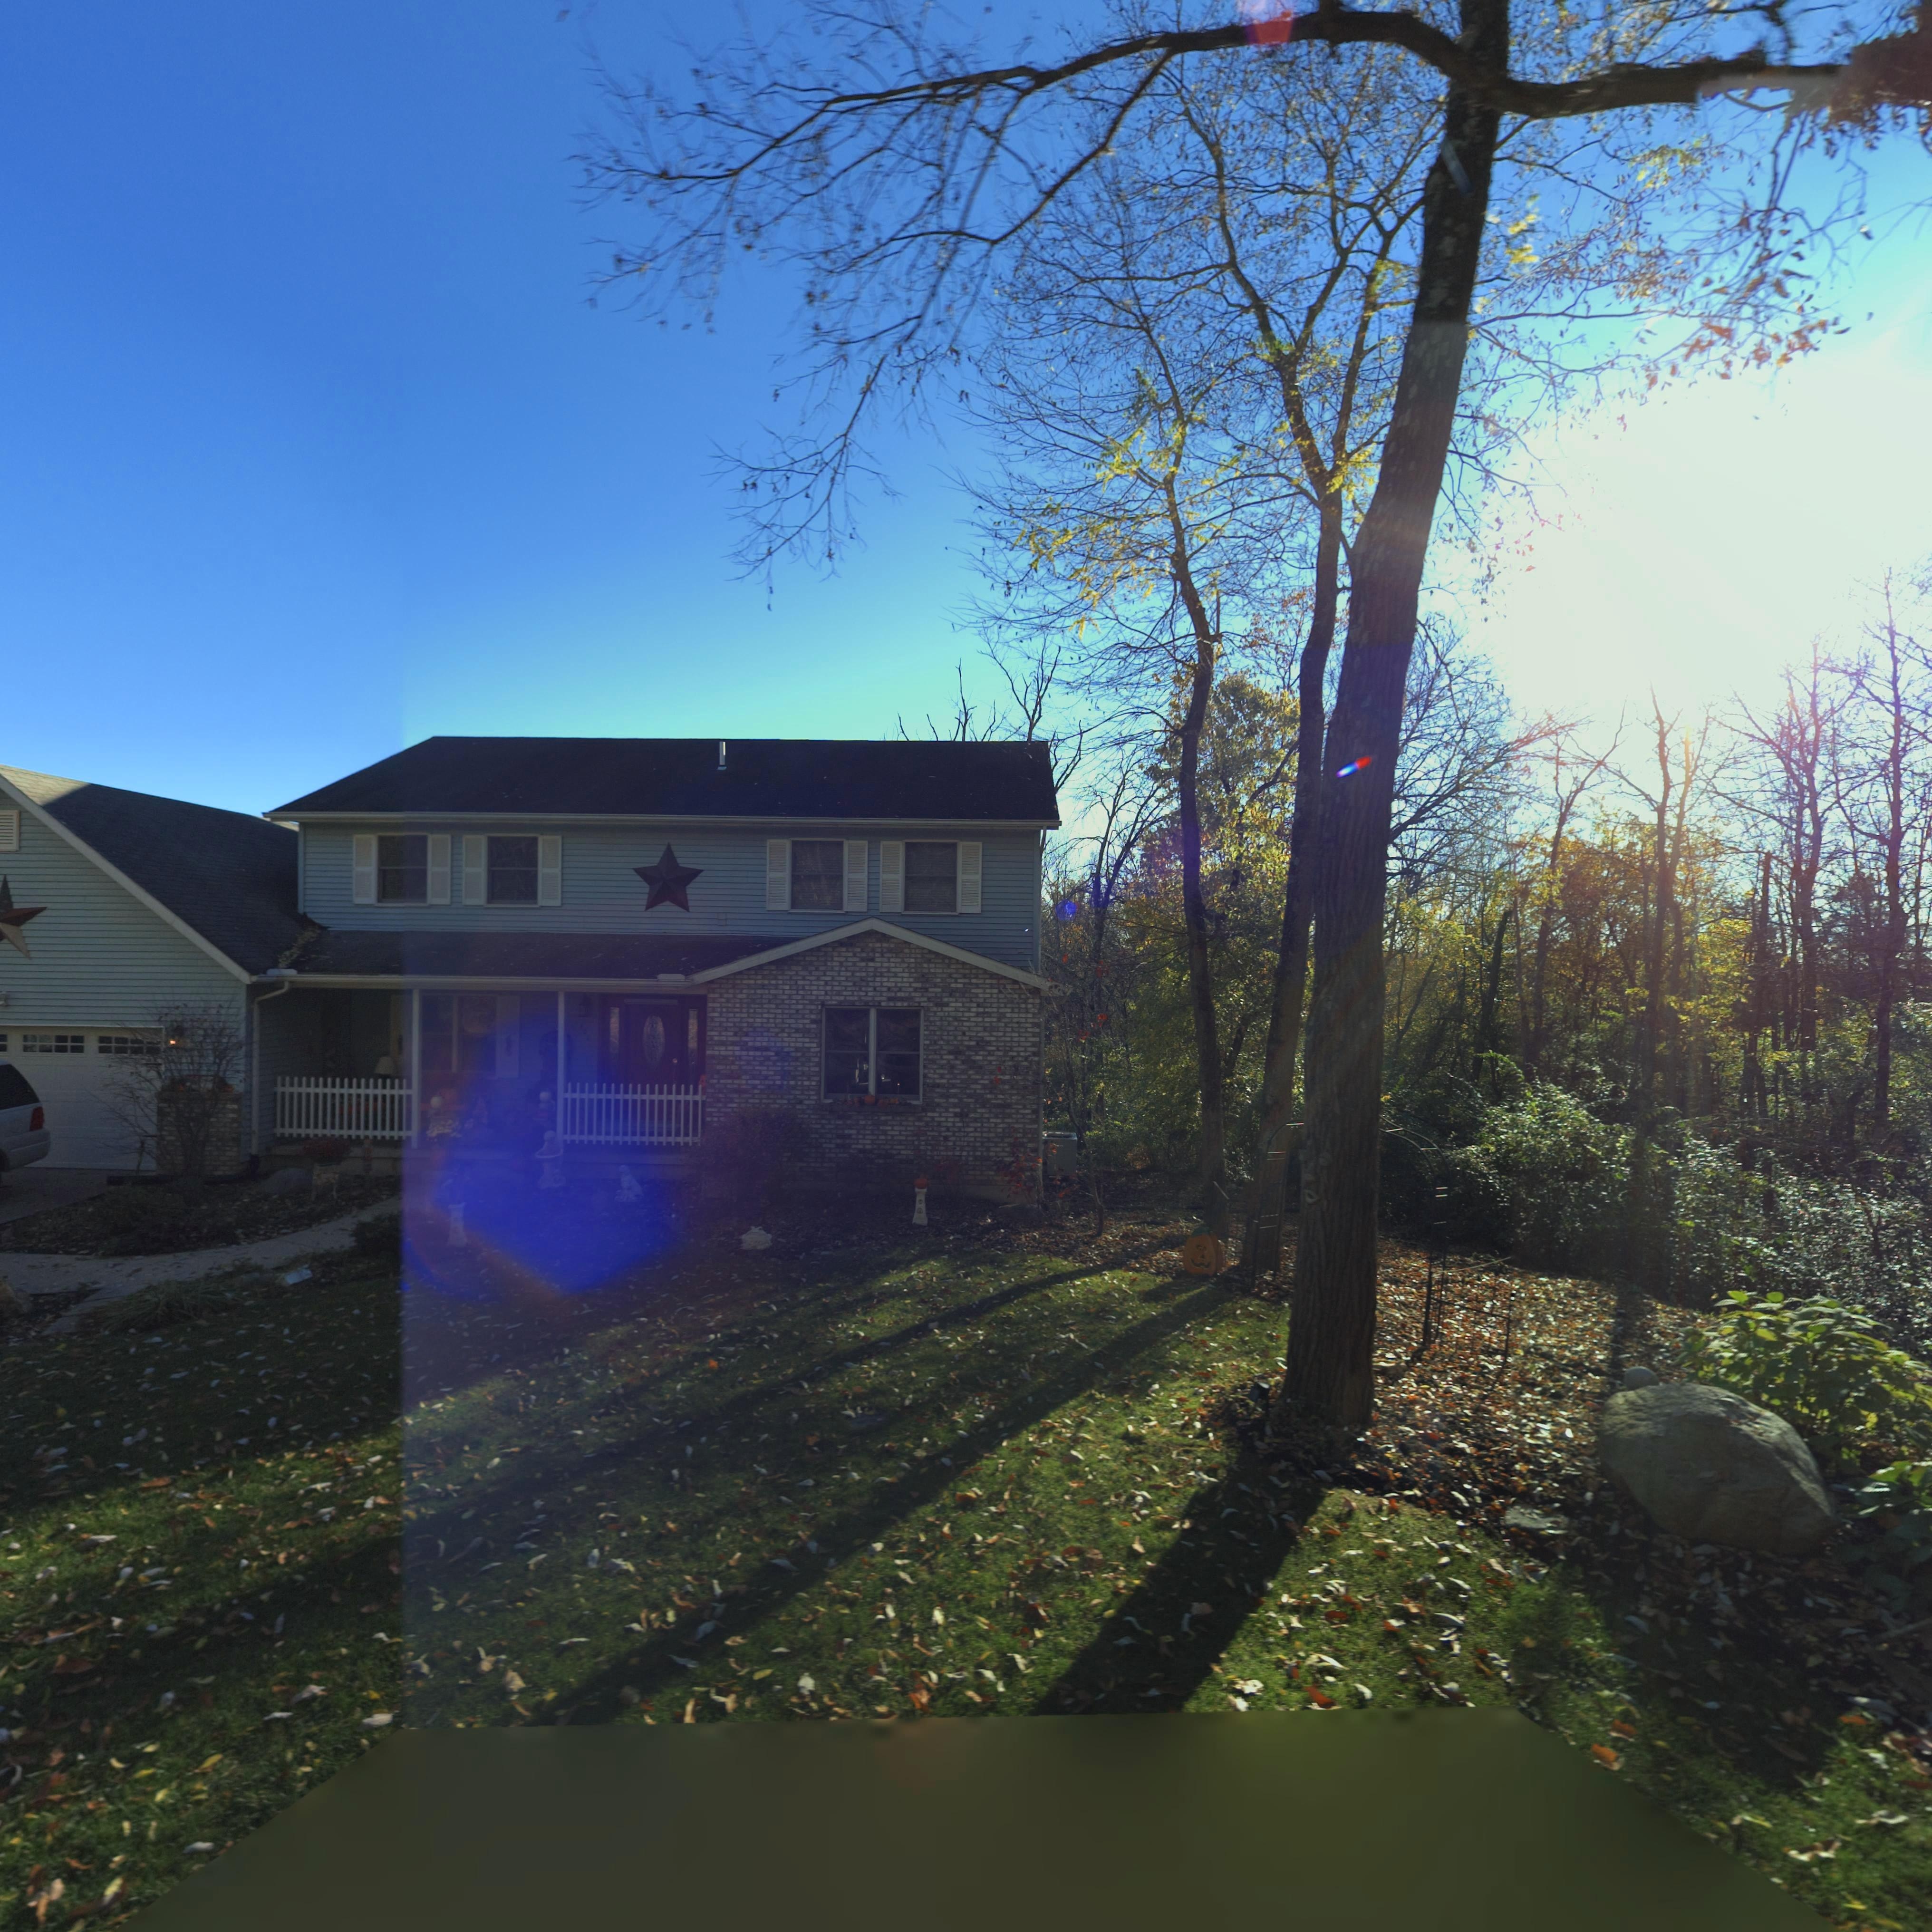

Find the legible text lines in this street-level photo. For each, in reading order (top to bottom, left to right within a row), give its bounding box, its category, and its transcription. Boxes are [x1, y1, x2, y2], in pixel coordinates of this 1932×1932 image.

[579, 1021, 592, 1042] StreetNumber: *00